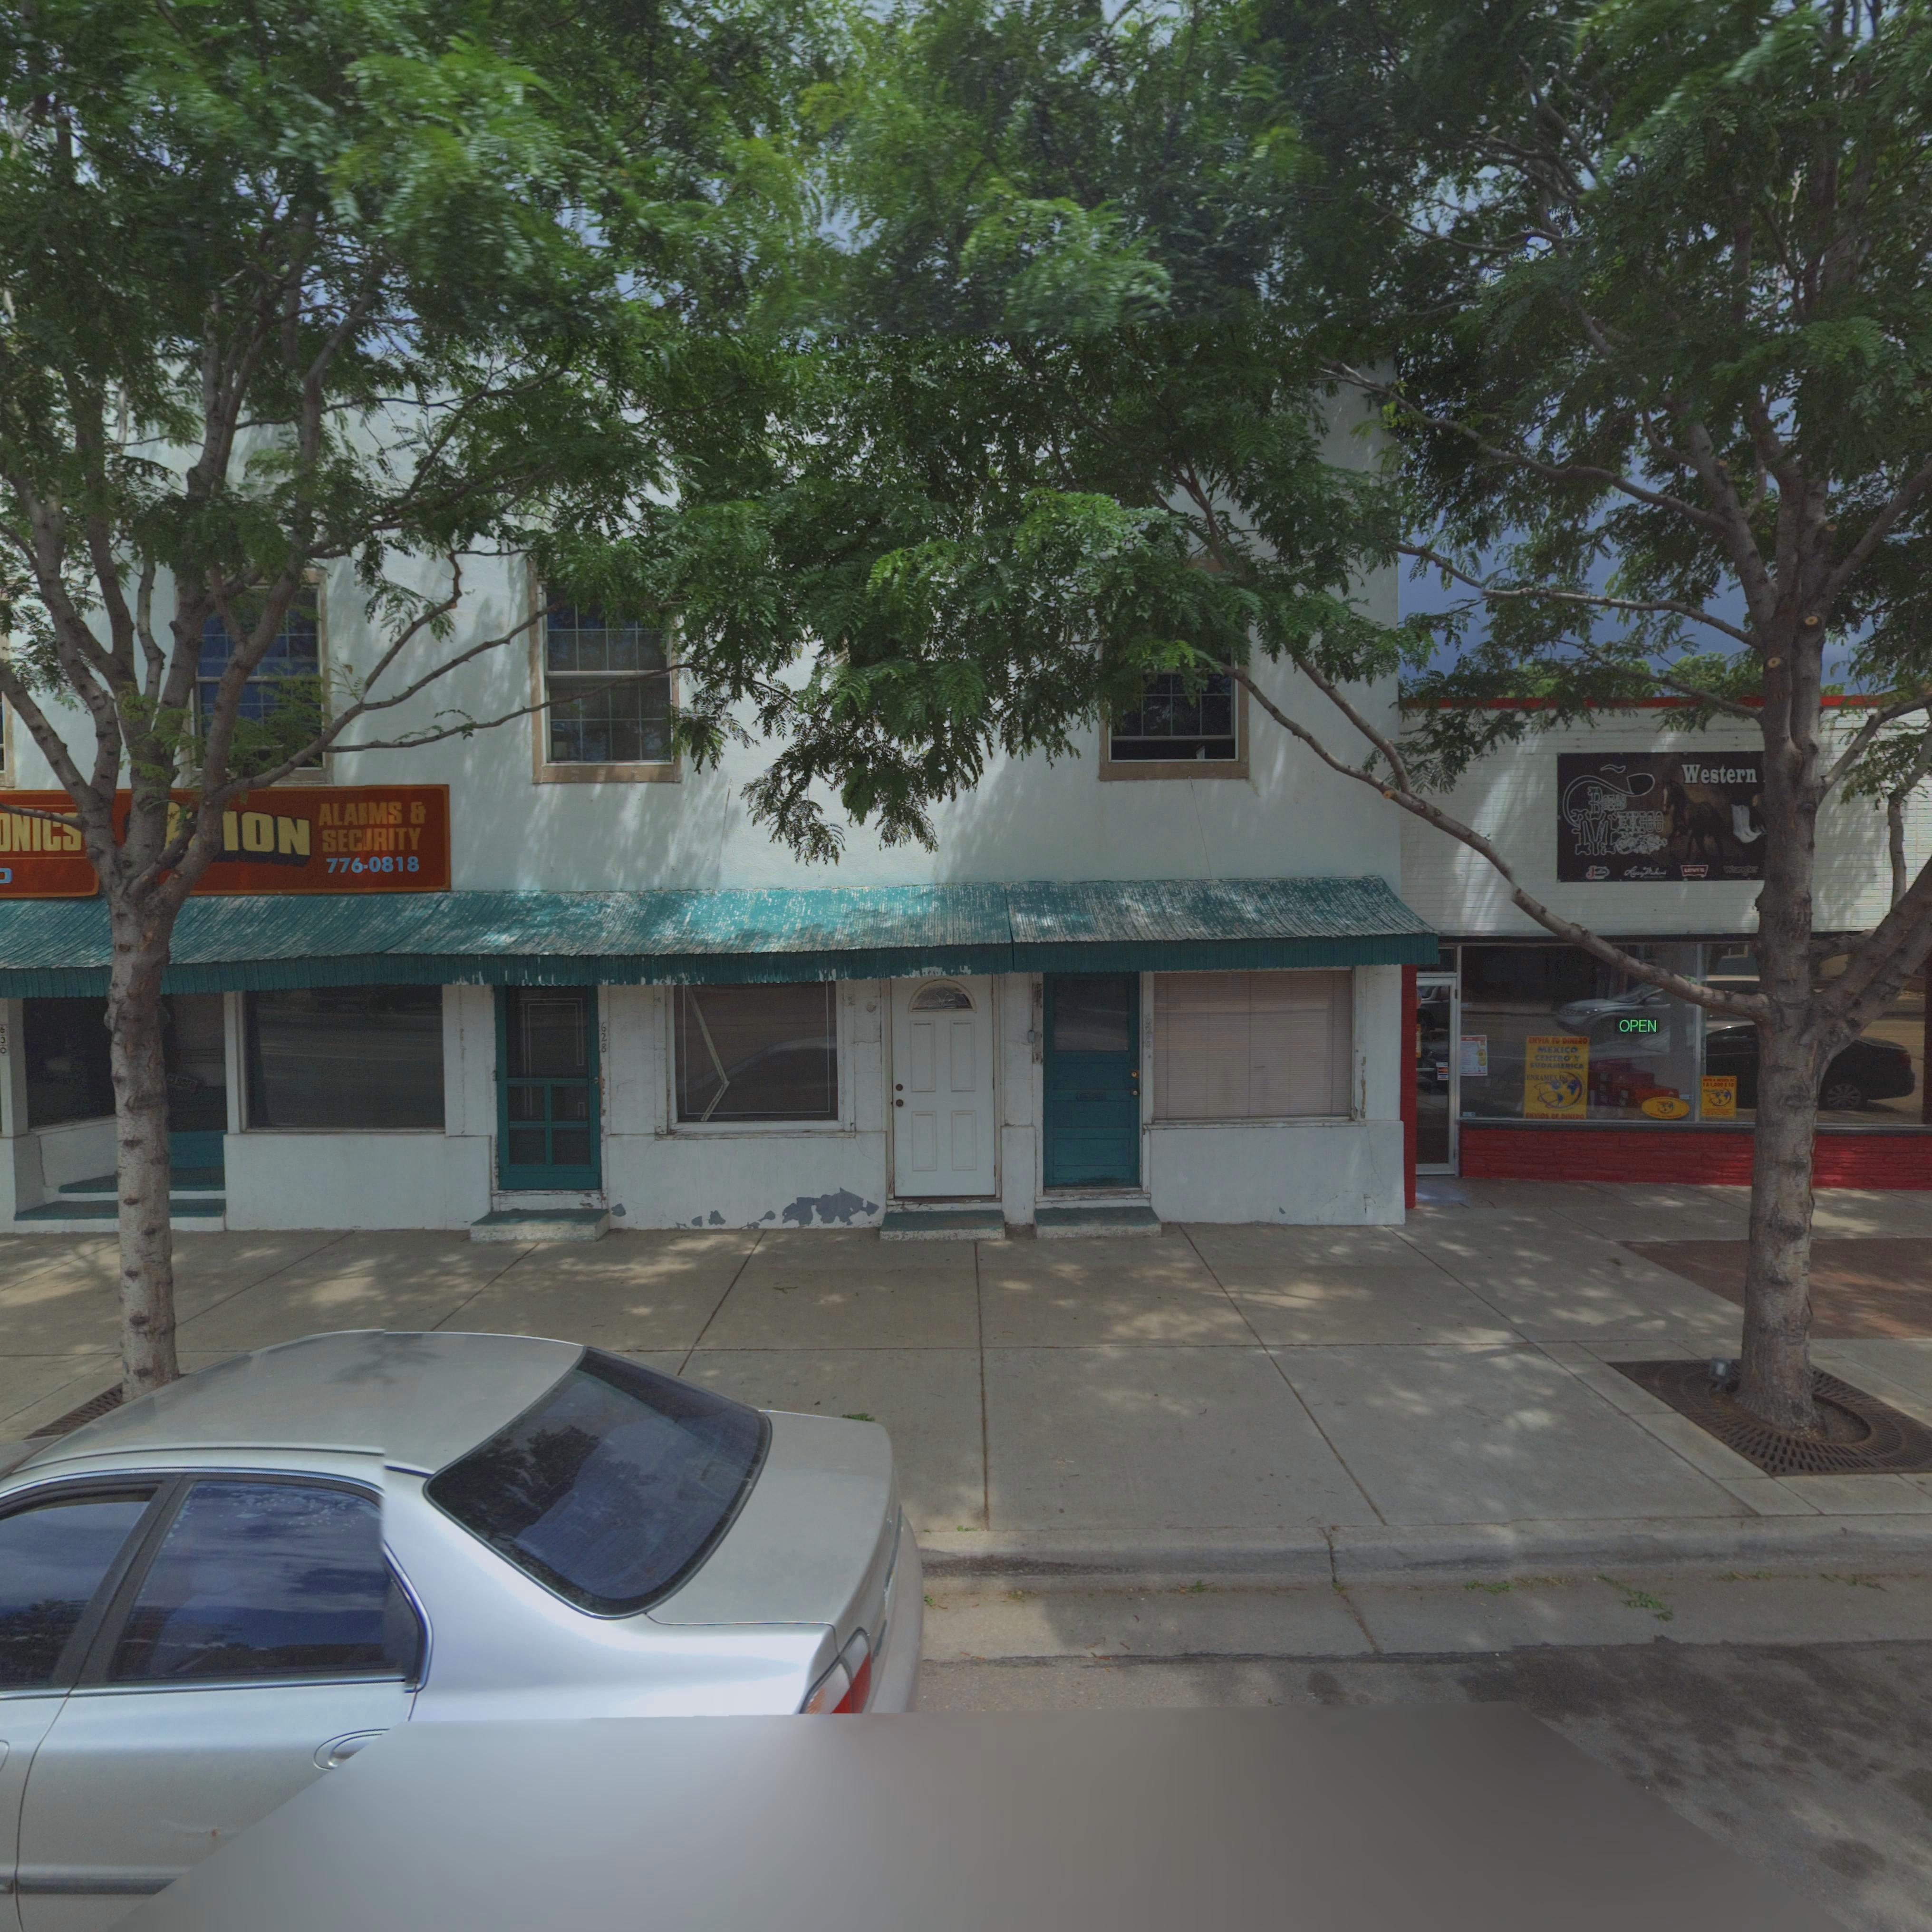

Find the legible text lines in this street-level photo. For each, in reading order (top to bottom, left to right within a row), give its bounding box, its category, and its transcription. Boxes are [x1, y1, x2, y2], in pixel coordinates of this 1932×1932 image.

[1587, 786, 1627, 820] BusinessName: BOTAS
[10, 810, 83, 852] BusinessName: NIC*
[221, 809, 311, 858] BusinessName: ION
[1571, 808, 1665, 857] BusinessName: MEXICO\
[0, 1026, 7, 1054] StreetNumber: 630
[601, 1021, 607, 1053] StreetNumber: 628
[1144, 1012, 1153, 1052] StreetNumber: 626